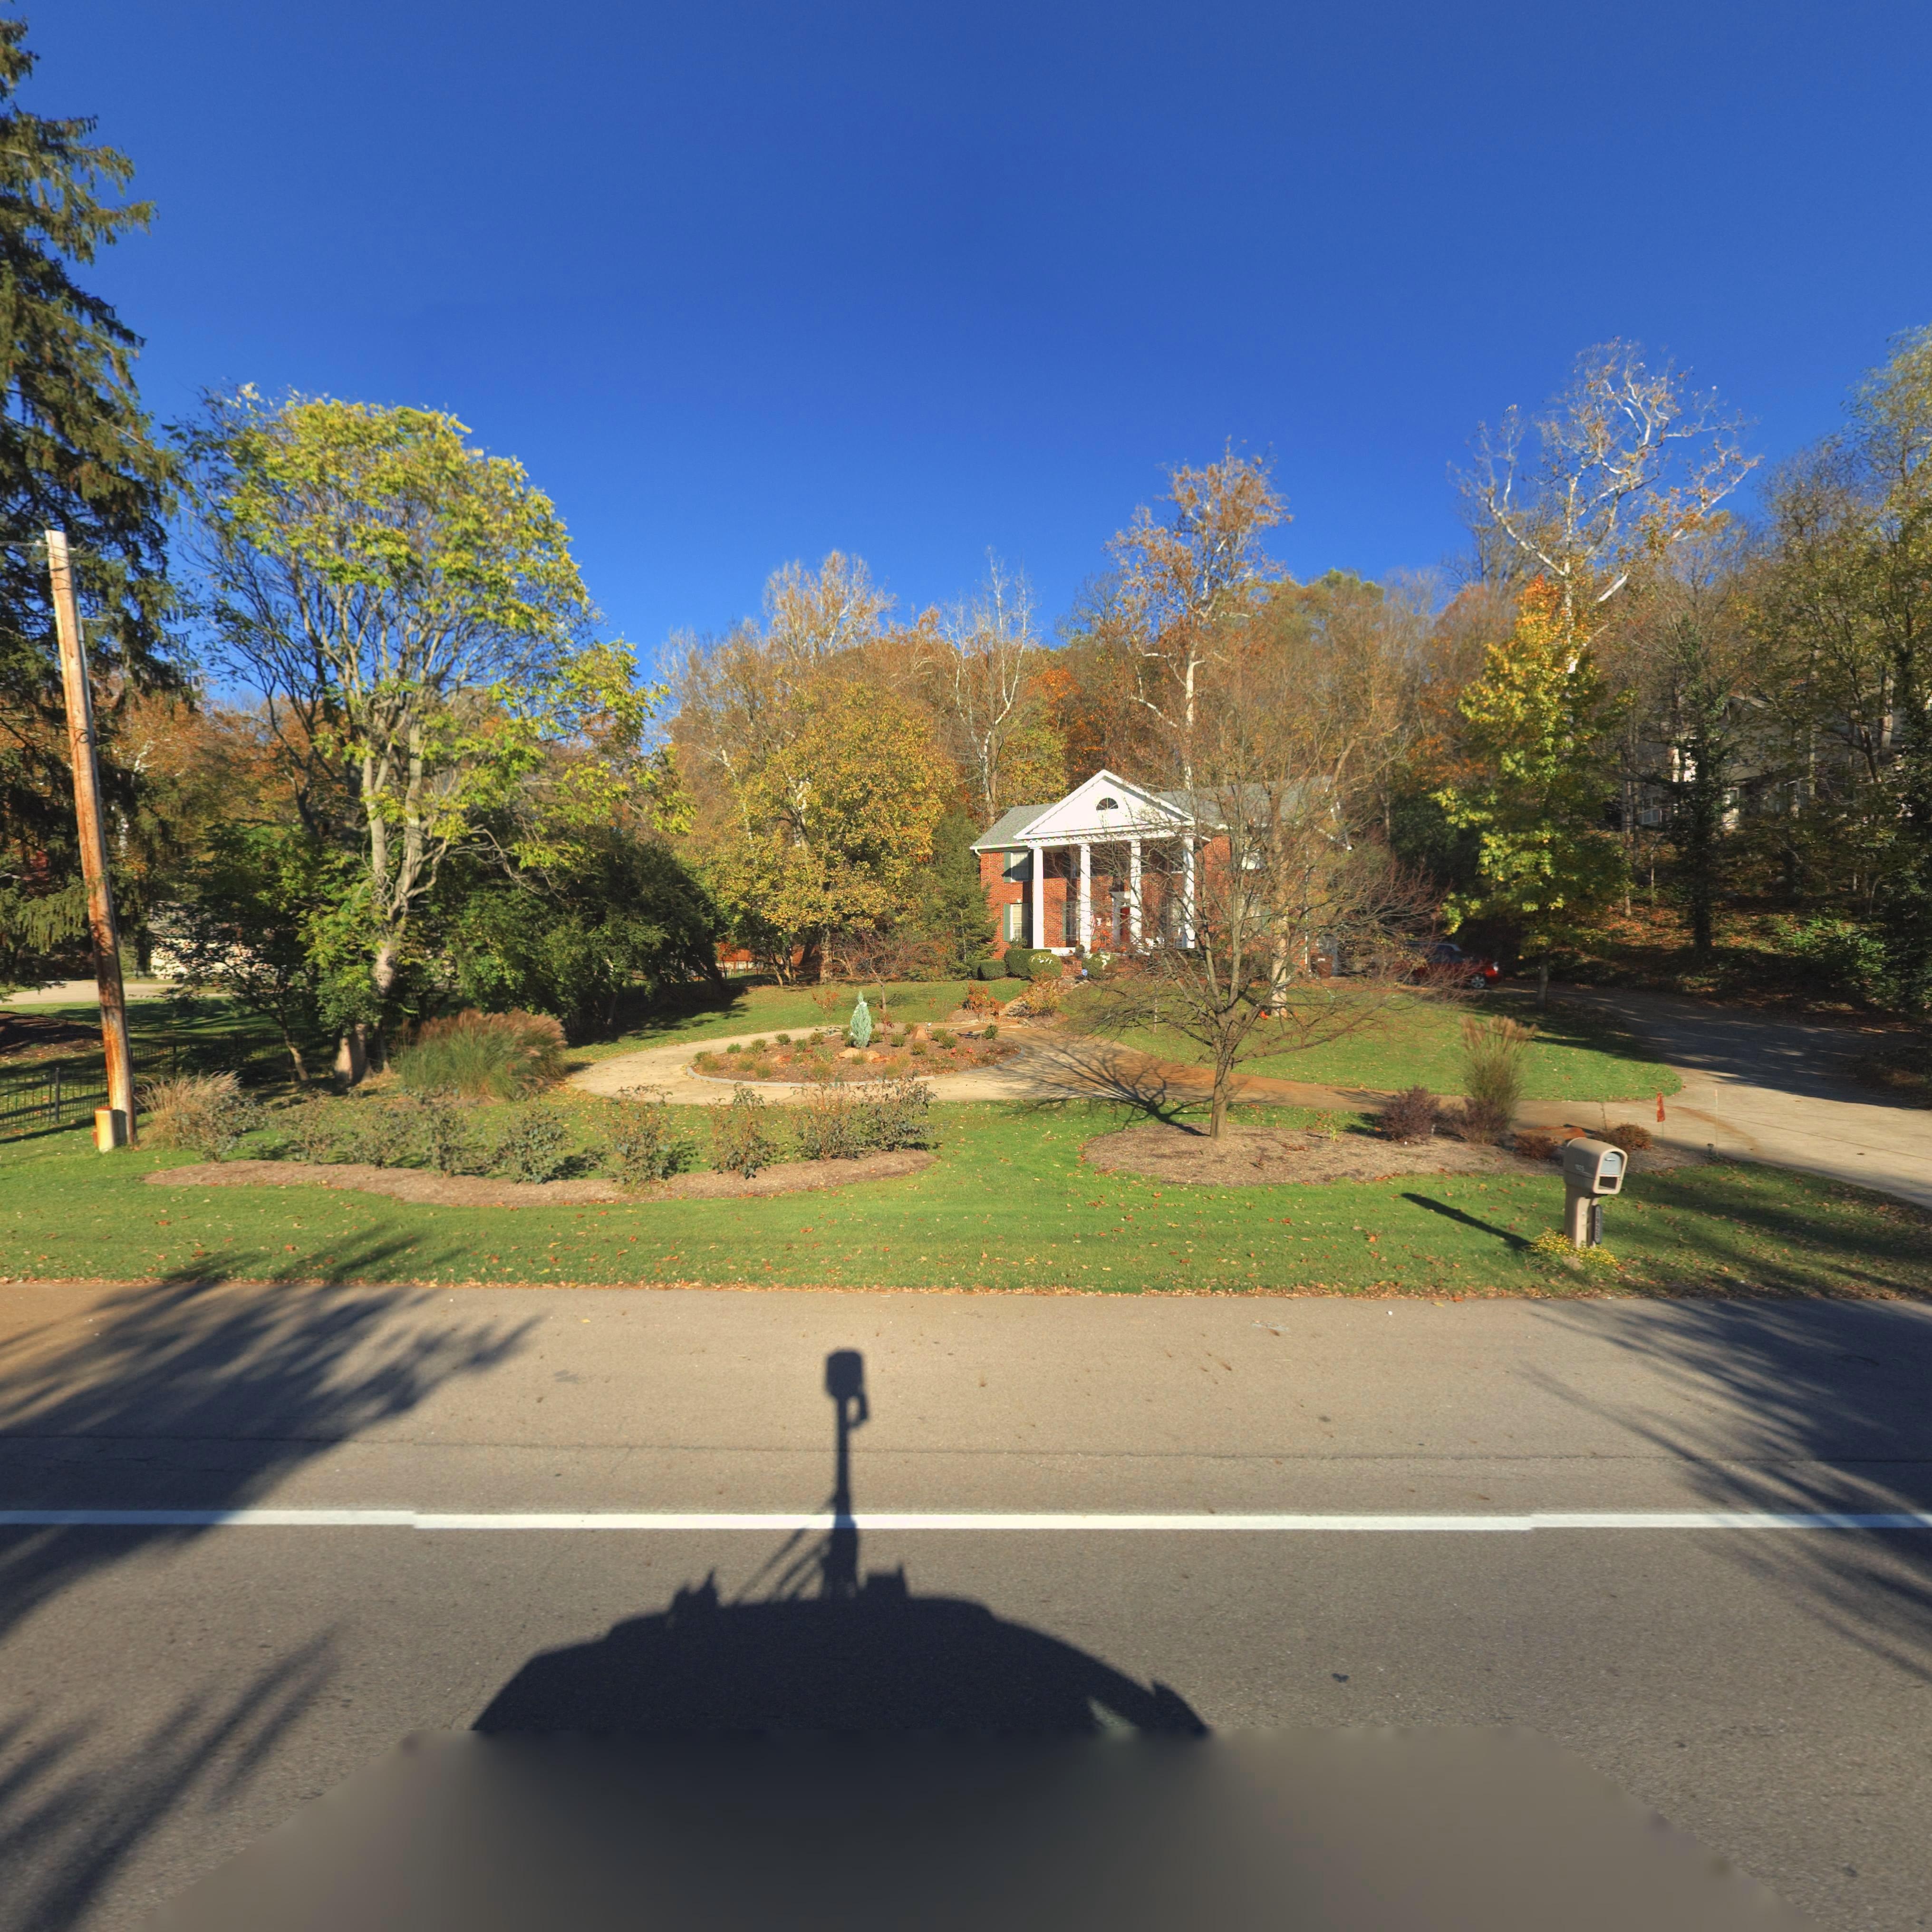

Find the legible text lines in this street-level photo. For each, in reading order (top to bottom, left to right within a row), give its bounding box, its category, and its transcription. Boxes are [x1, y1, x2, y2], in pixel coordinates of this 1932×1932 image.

[1575, 1163, 1585, 1172] StreetNumber: 1925
[1595, 1210, 1601, 1238] StreetNumber: 1925